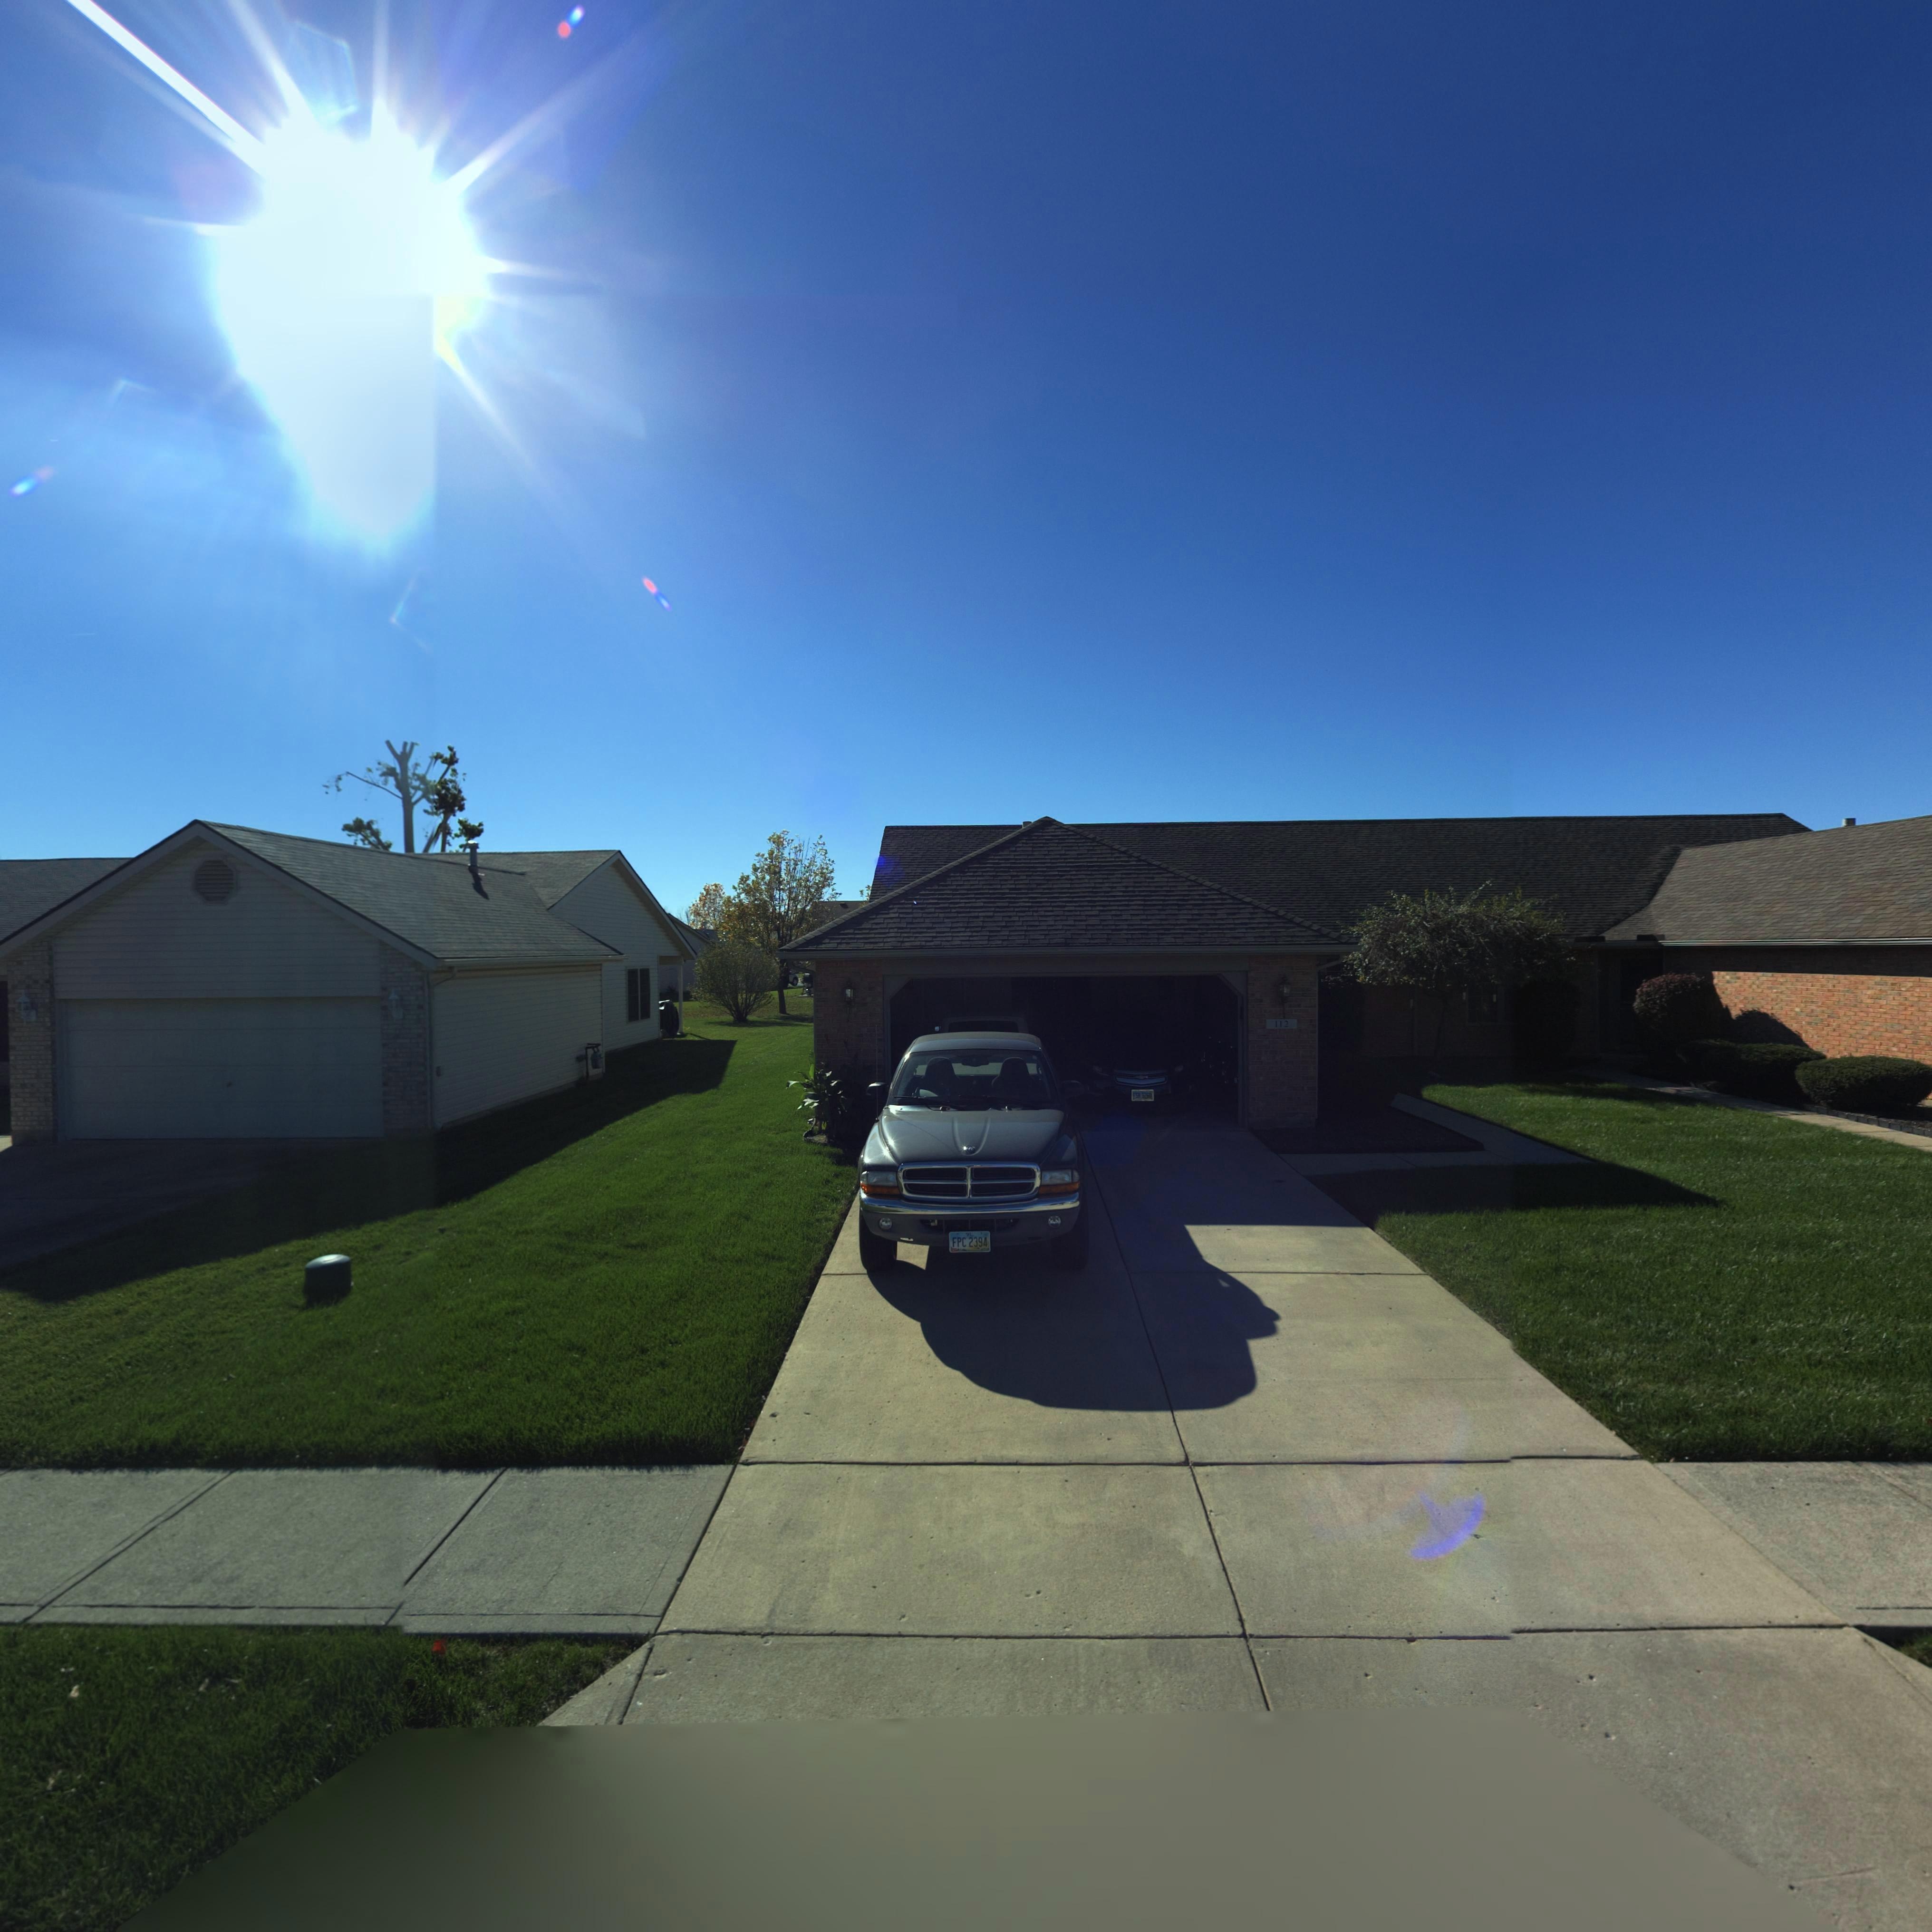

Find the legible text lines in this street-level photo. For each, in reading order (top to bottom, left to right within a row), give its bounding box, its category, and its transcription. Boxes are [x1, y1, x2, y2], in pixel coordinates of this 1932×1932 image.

[1275, 1020, 1289, 1028] StreetNumber: 112
[950, 1234, 989, 1248] None: FPC 2394